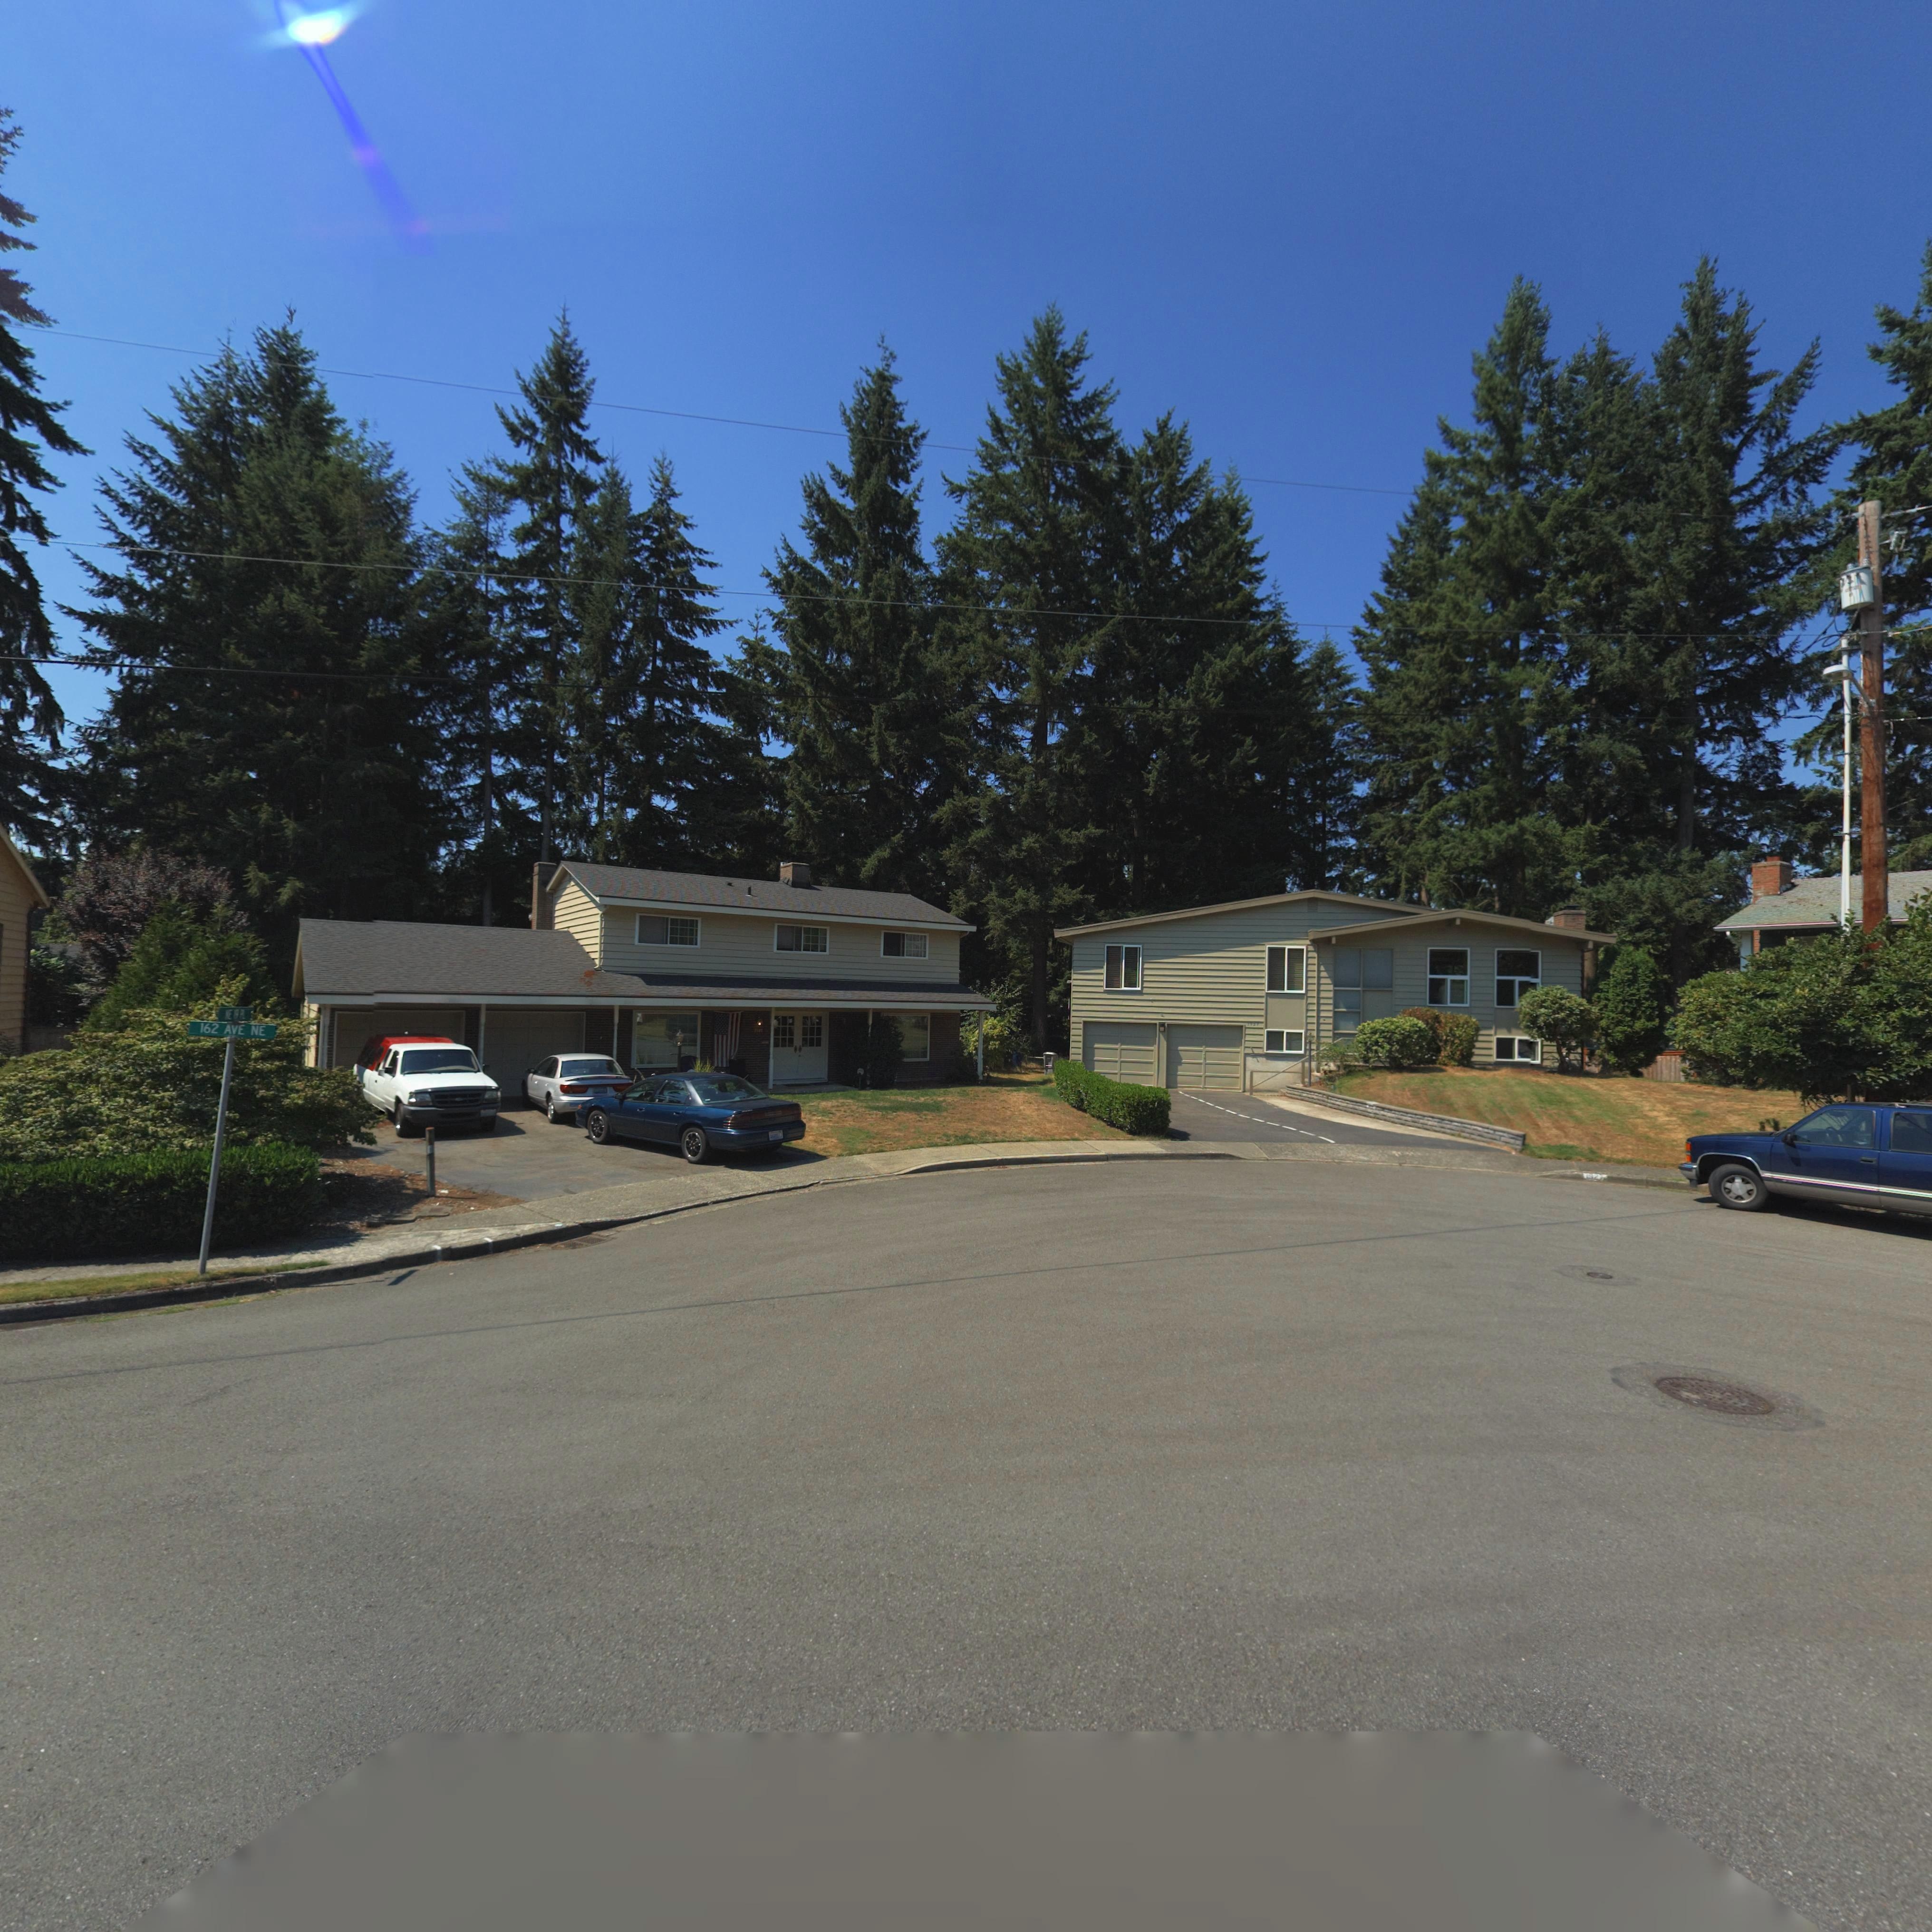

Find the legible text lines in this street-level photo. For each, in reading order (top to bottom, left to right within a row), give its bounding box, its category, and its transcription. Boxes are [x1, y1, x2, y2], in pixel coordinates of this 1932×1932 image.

[200, 1022, 266, 1036] StreetName: 162 AVE NE